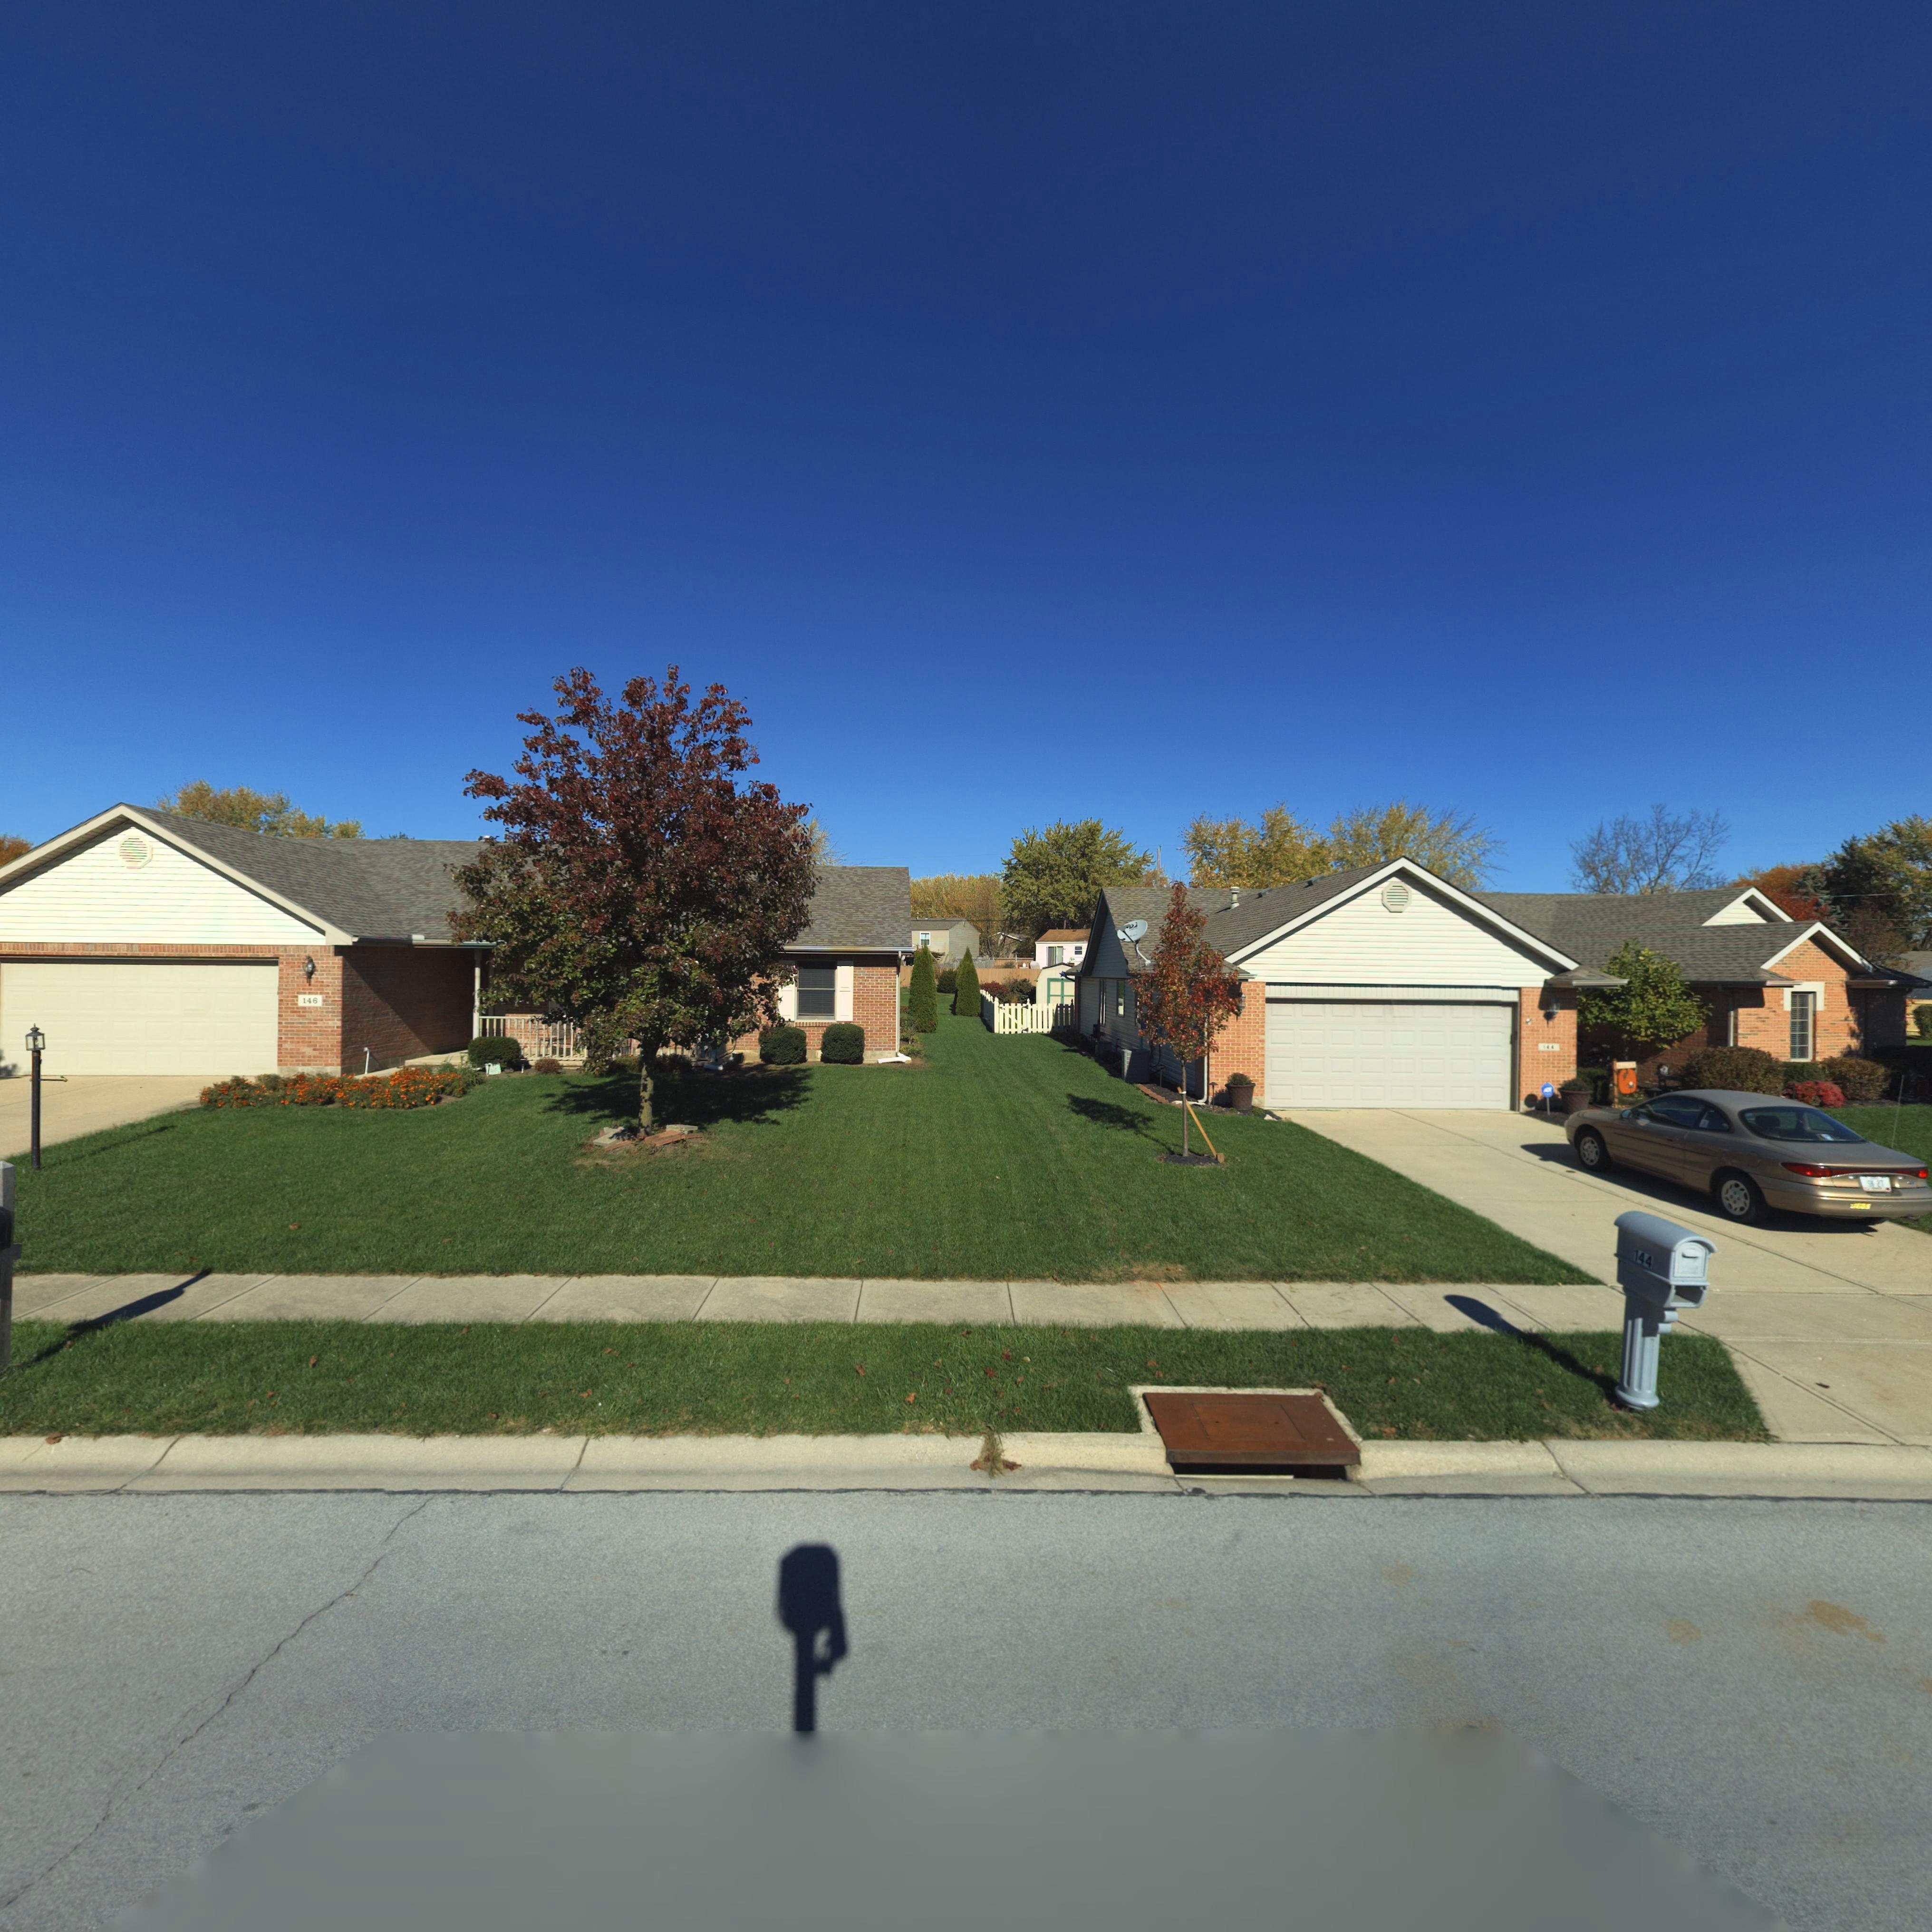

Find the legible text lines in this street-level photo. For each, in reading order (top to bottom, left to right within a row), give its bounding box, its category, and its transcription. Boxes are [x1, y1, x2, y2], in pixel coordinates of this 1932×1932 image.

[302, 997, 318, 1004] StreetNumber: 146
[1543, 1044, 1554, 1050] StreetNumber: 144
[1633, 1248, 1653, 1269] StreetNumber: 144